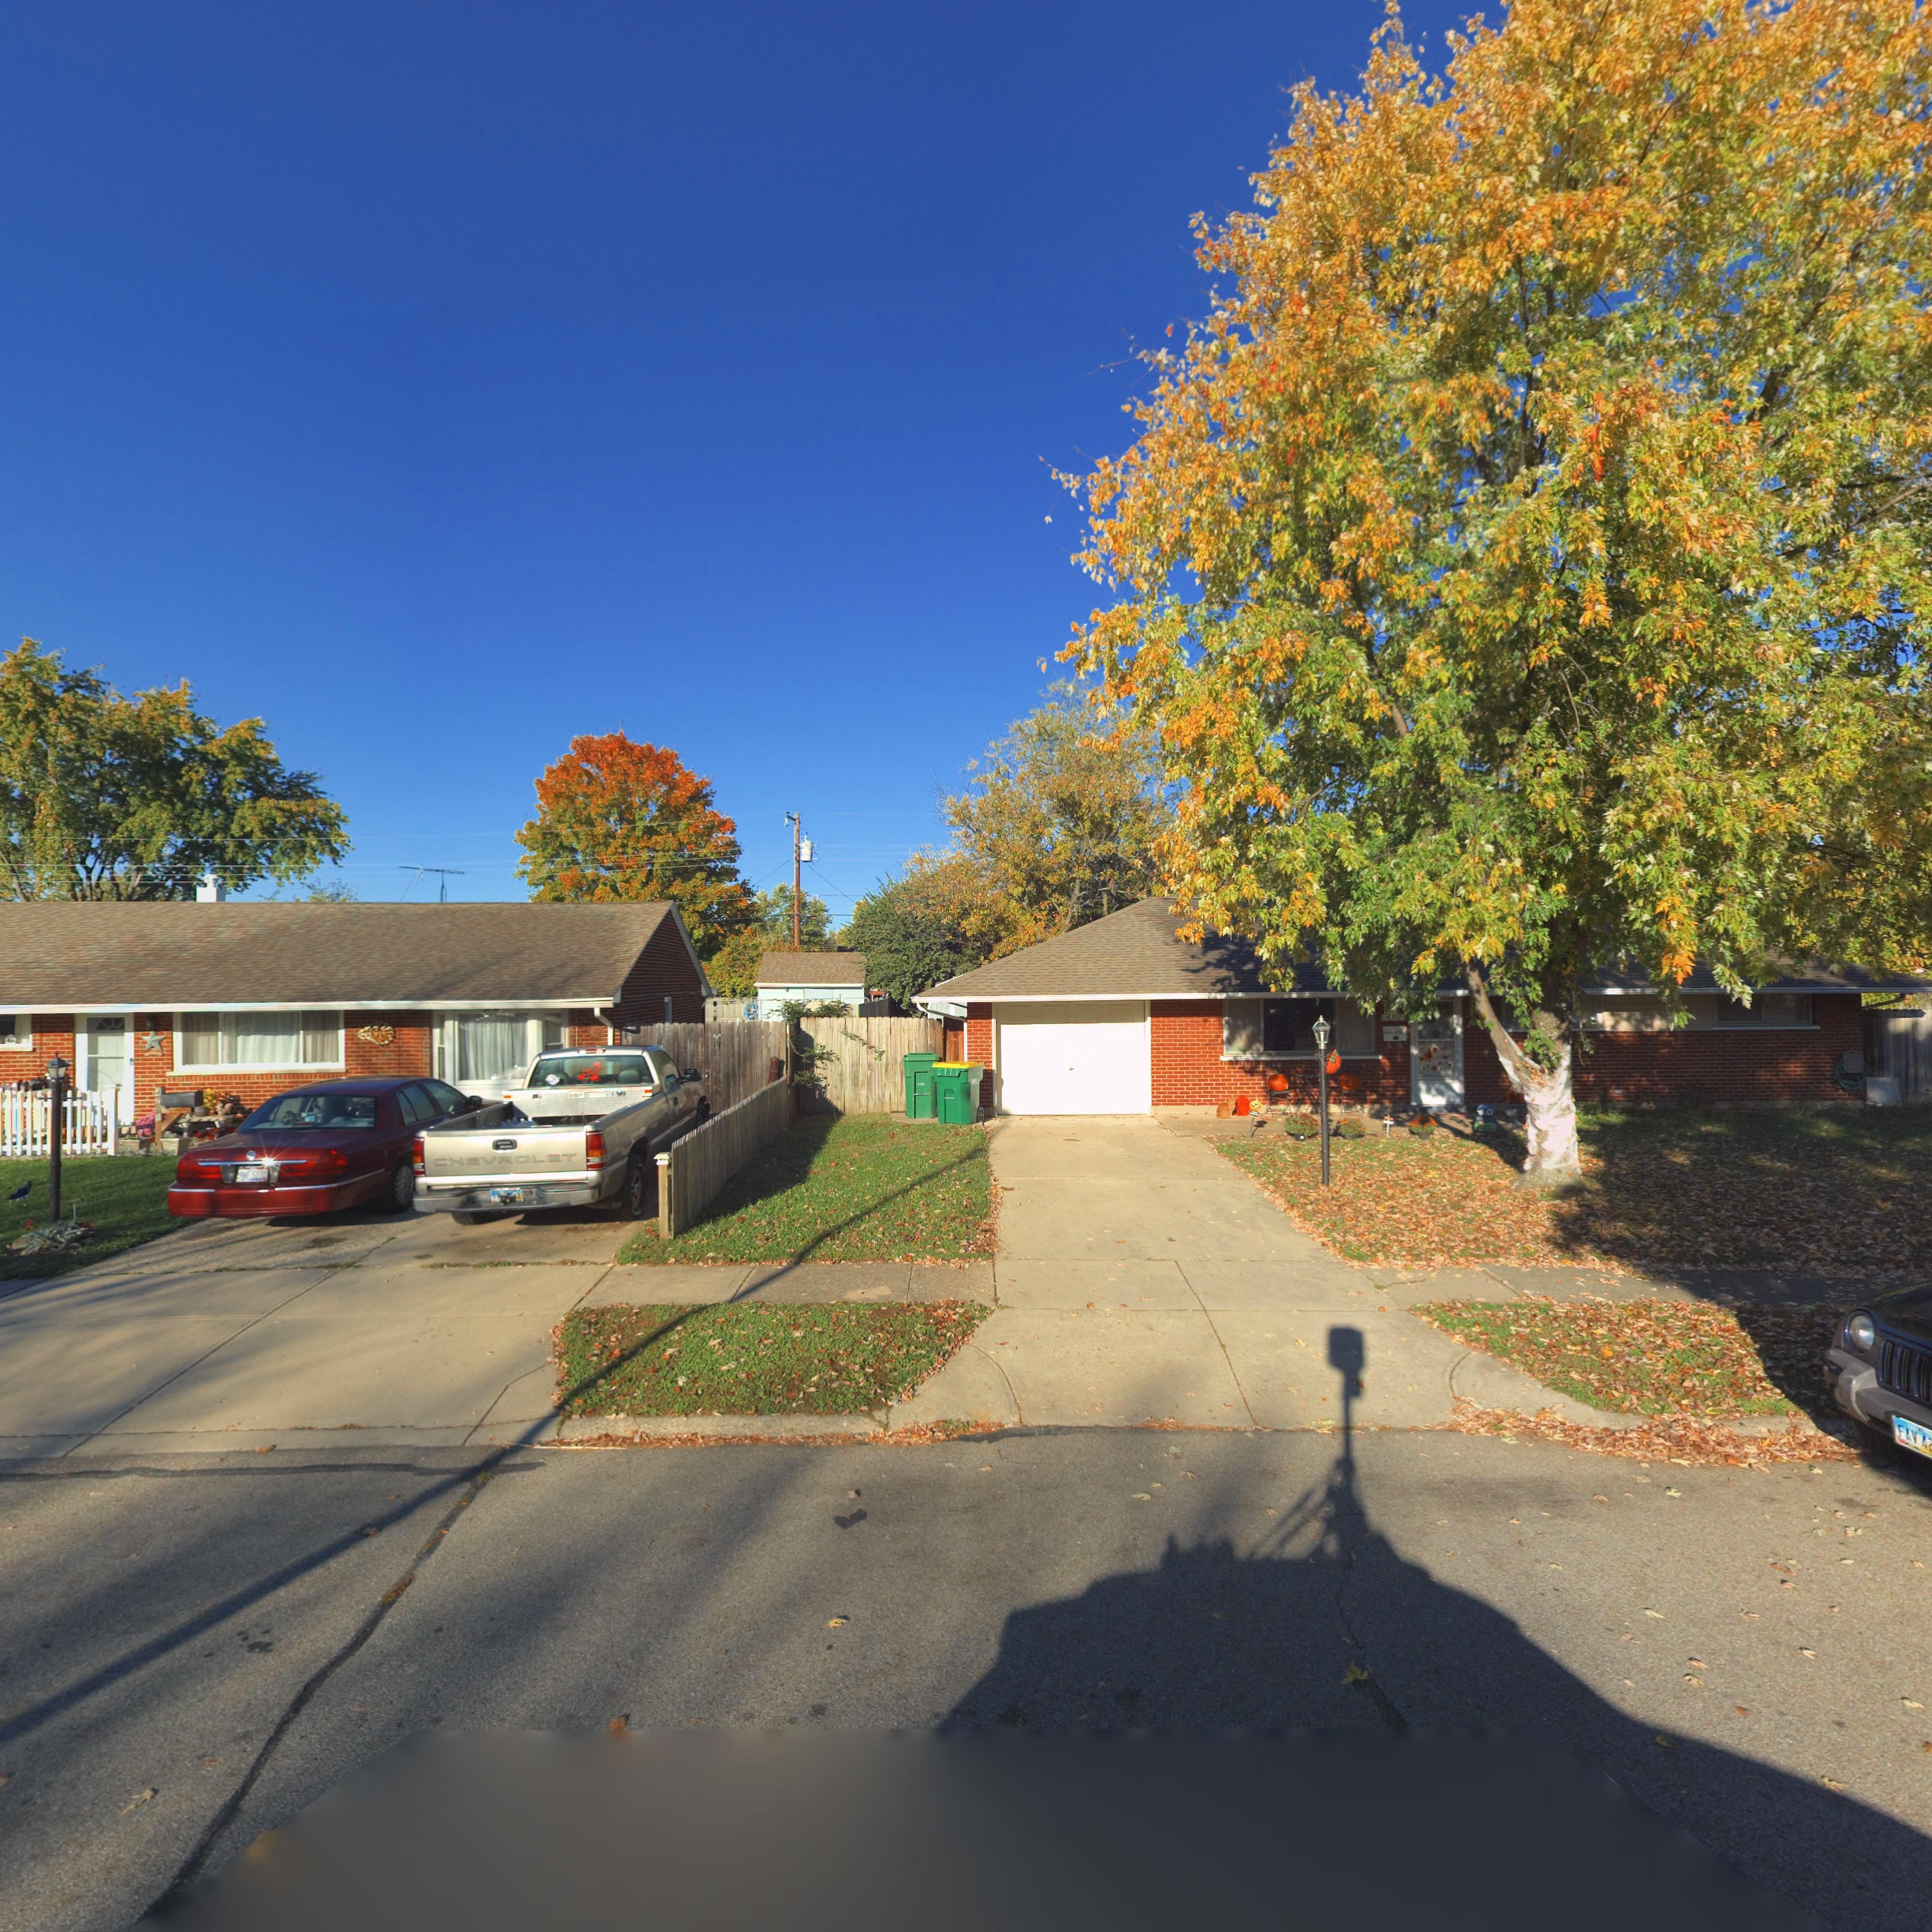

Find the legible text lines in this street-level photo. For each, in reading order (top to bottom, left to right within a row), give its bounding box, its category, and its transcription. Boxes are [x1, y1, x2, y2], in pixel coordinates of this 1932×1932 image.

[1386, 1014, 1402, 1021] StreetNumber: 4711
[169, 1096, 179, 1102] StreetNumber: 721
[155, 1088, 161, 1121] StreetNumber: 4721